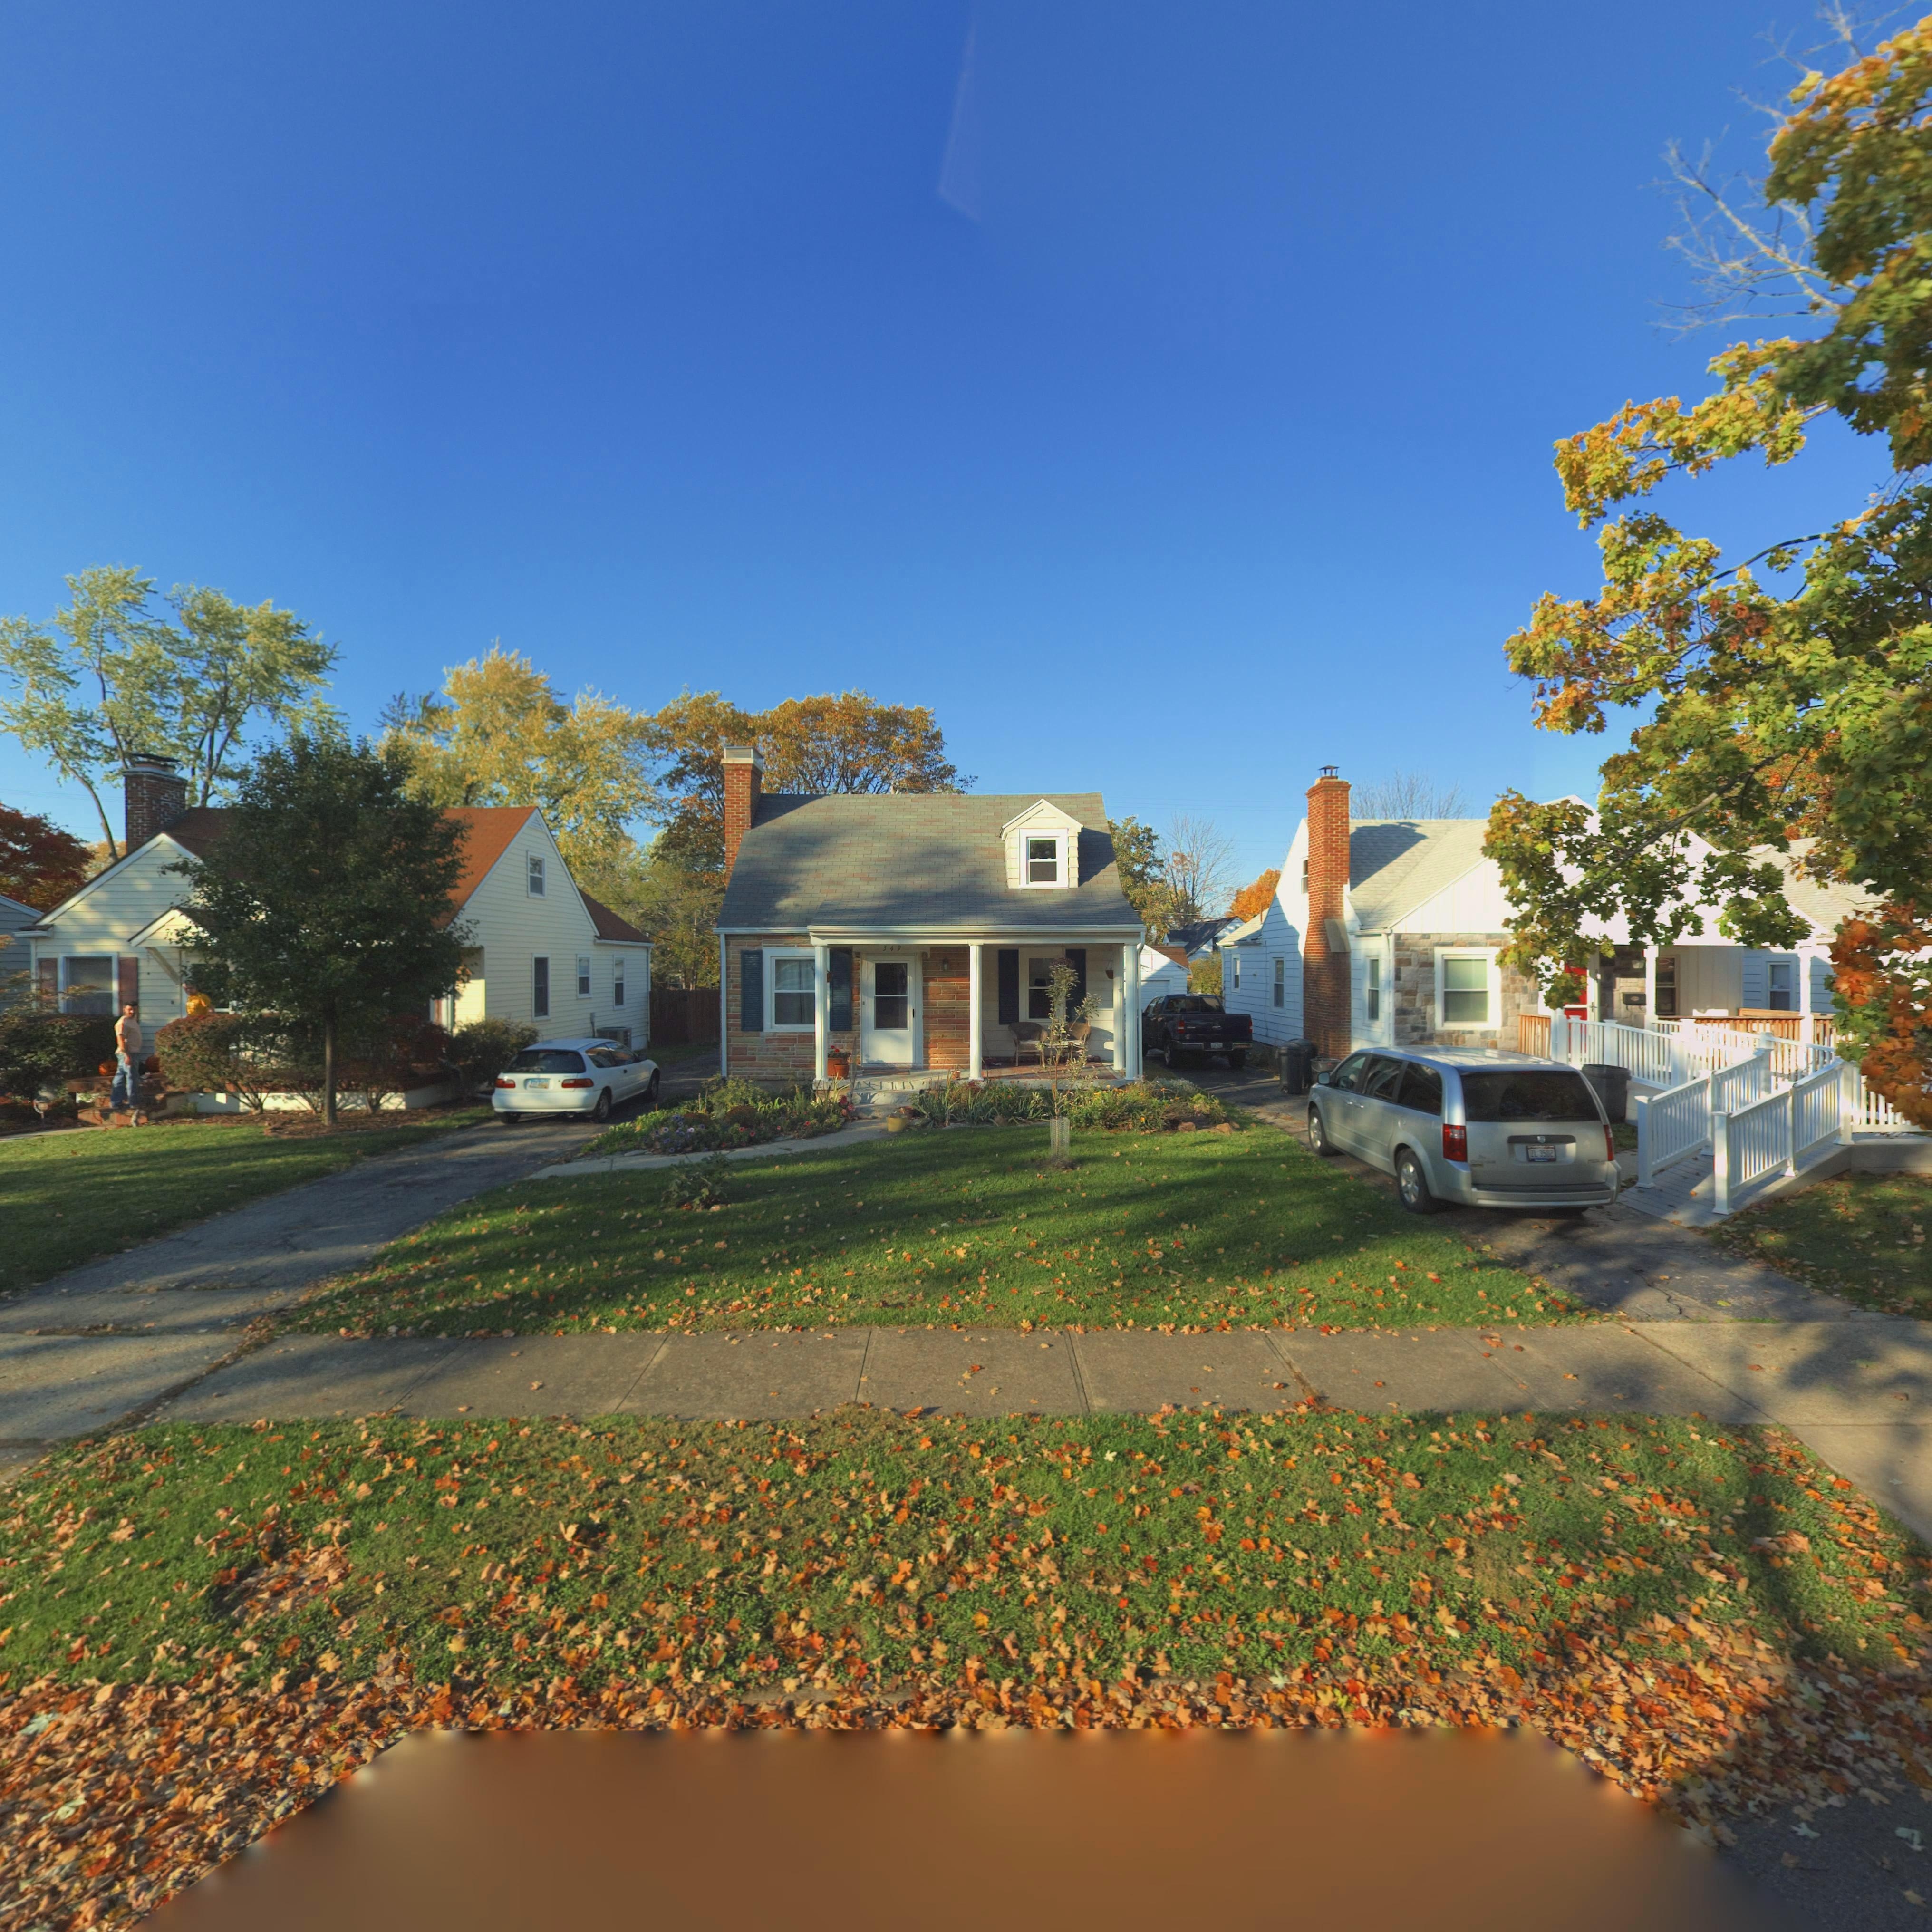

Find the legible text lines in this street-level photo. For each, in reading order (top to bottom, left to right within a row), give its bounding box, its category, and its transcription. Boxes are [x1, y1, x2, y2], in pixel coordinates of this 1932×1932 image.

[881, 944, 902, 952] StreetNumber: 349